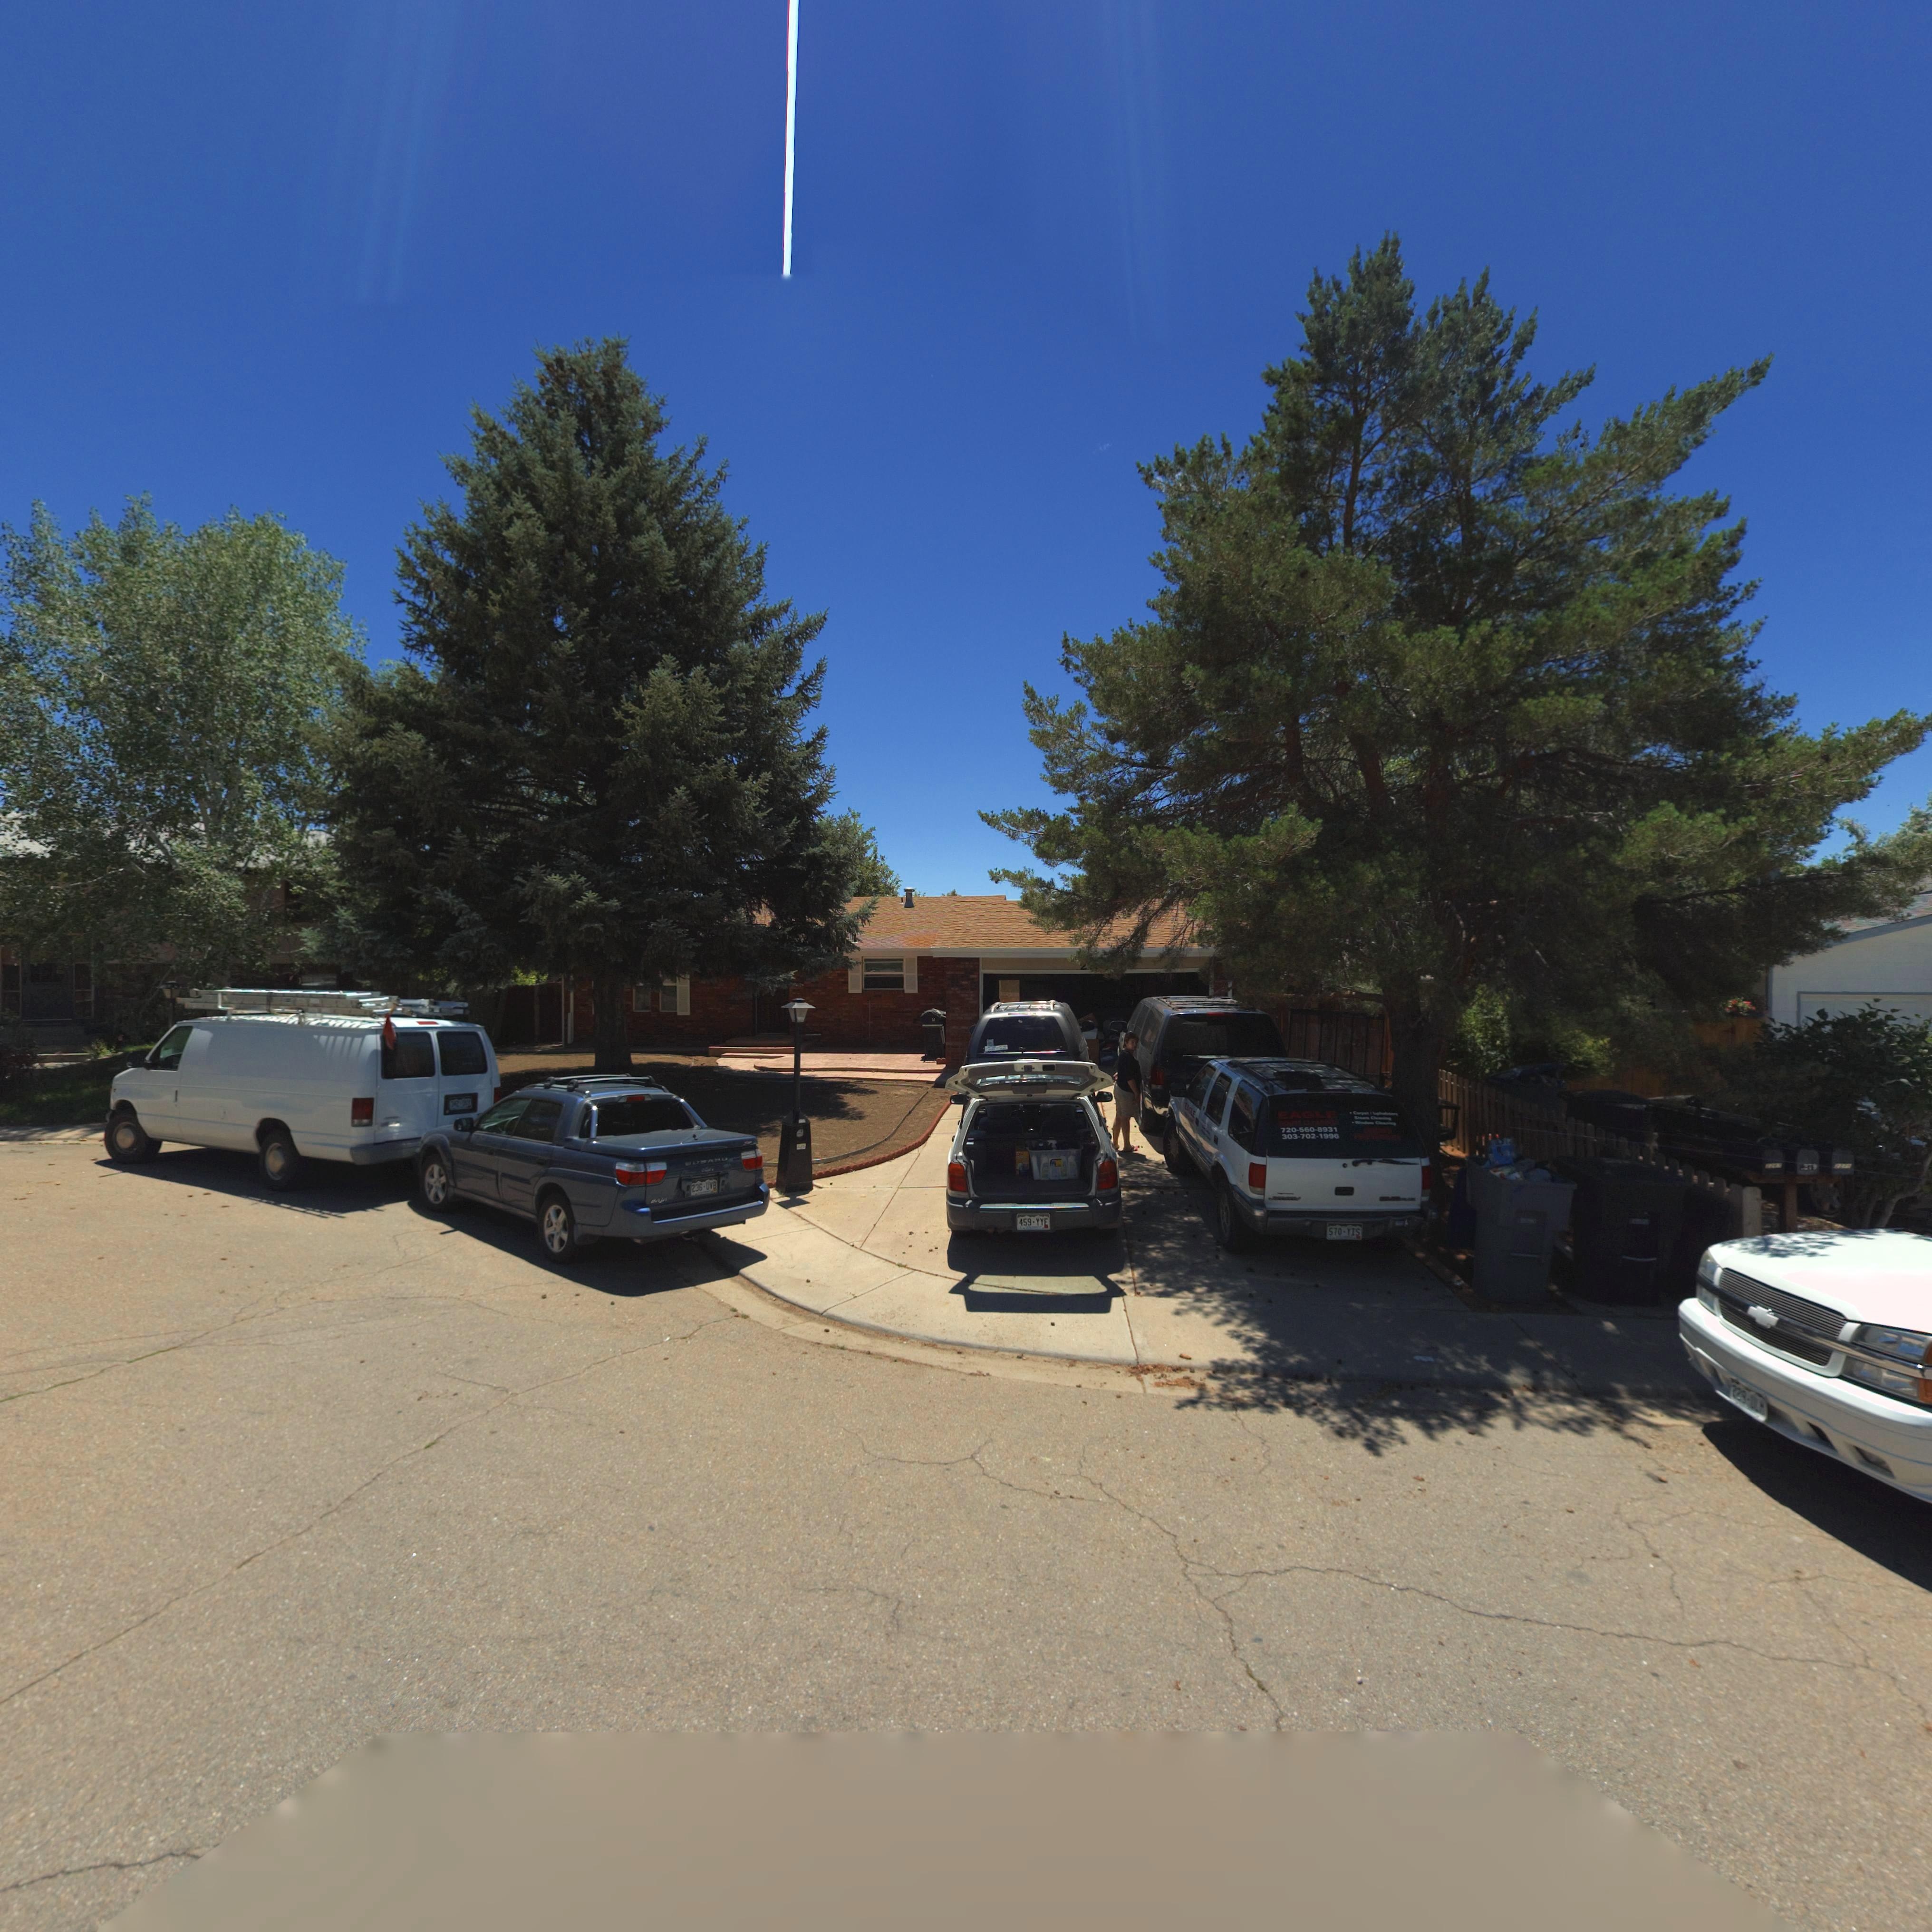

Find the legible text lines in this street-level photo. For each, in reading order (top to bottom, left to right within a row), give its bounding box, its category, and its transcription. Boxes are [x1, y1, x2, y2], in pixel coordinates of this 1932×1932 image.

[1765, 1163, 1782, 1169] StreetNumber: 224*